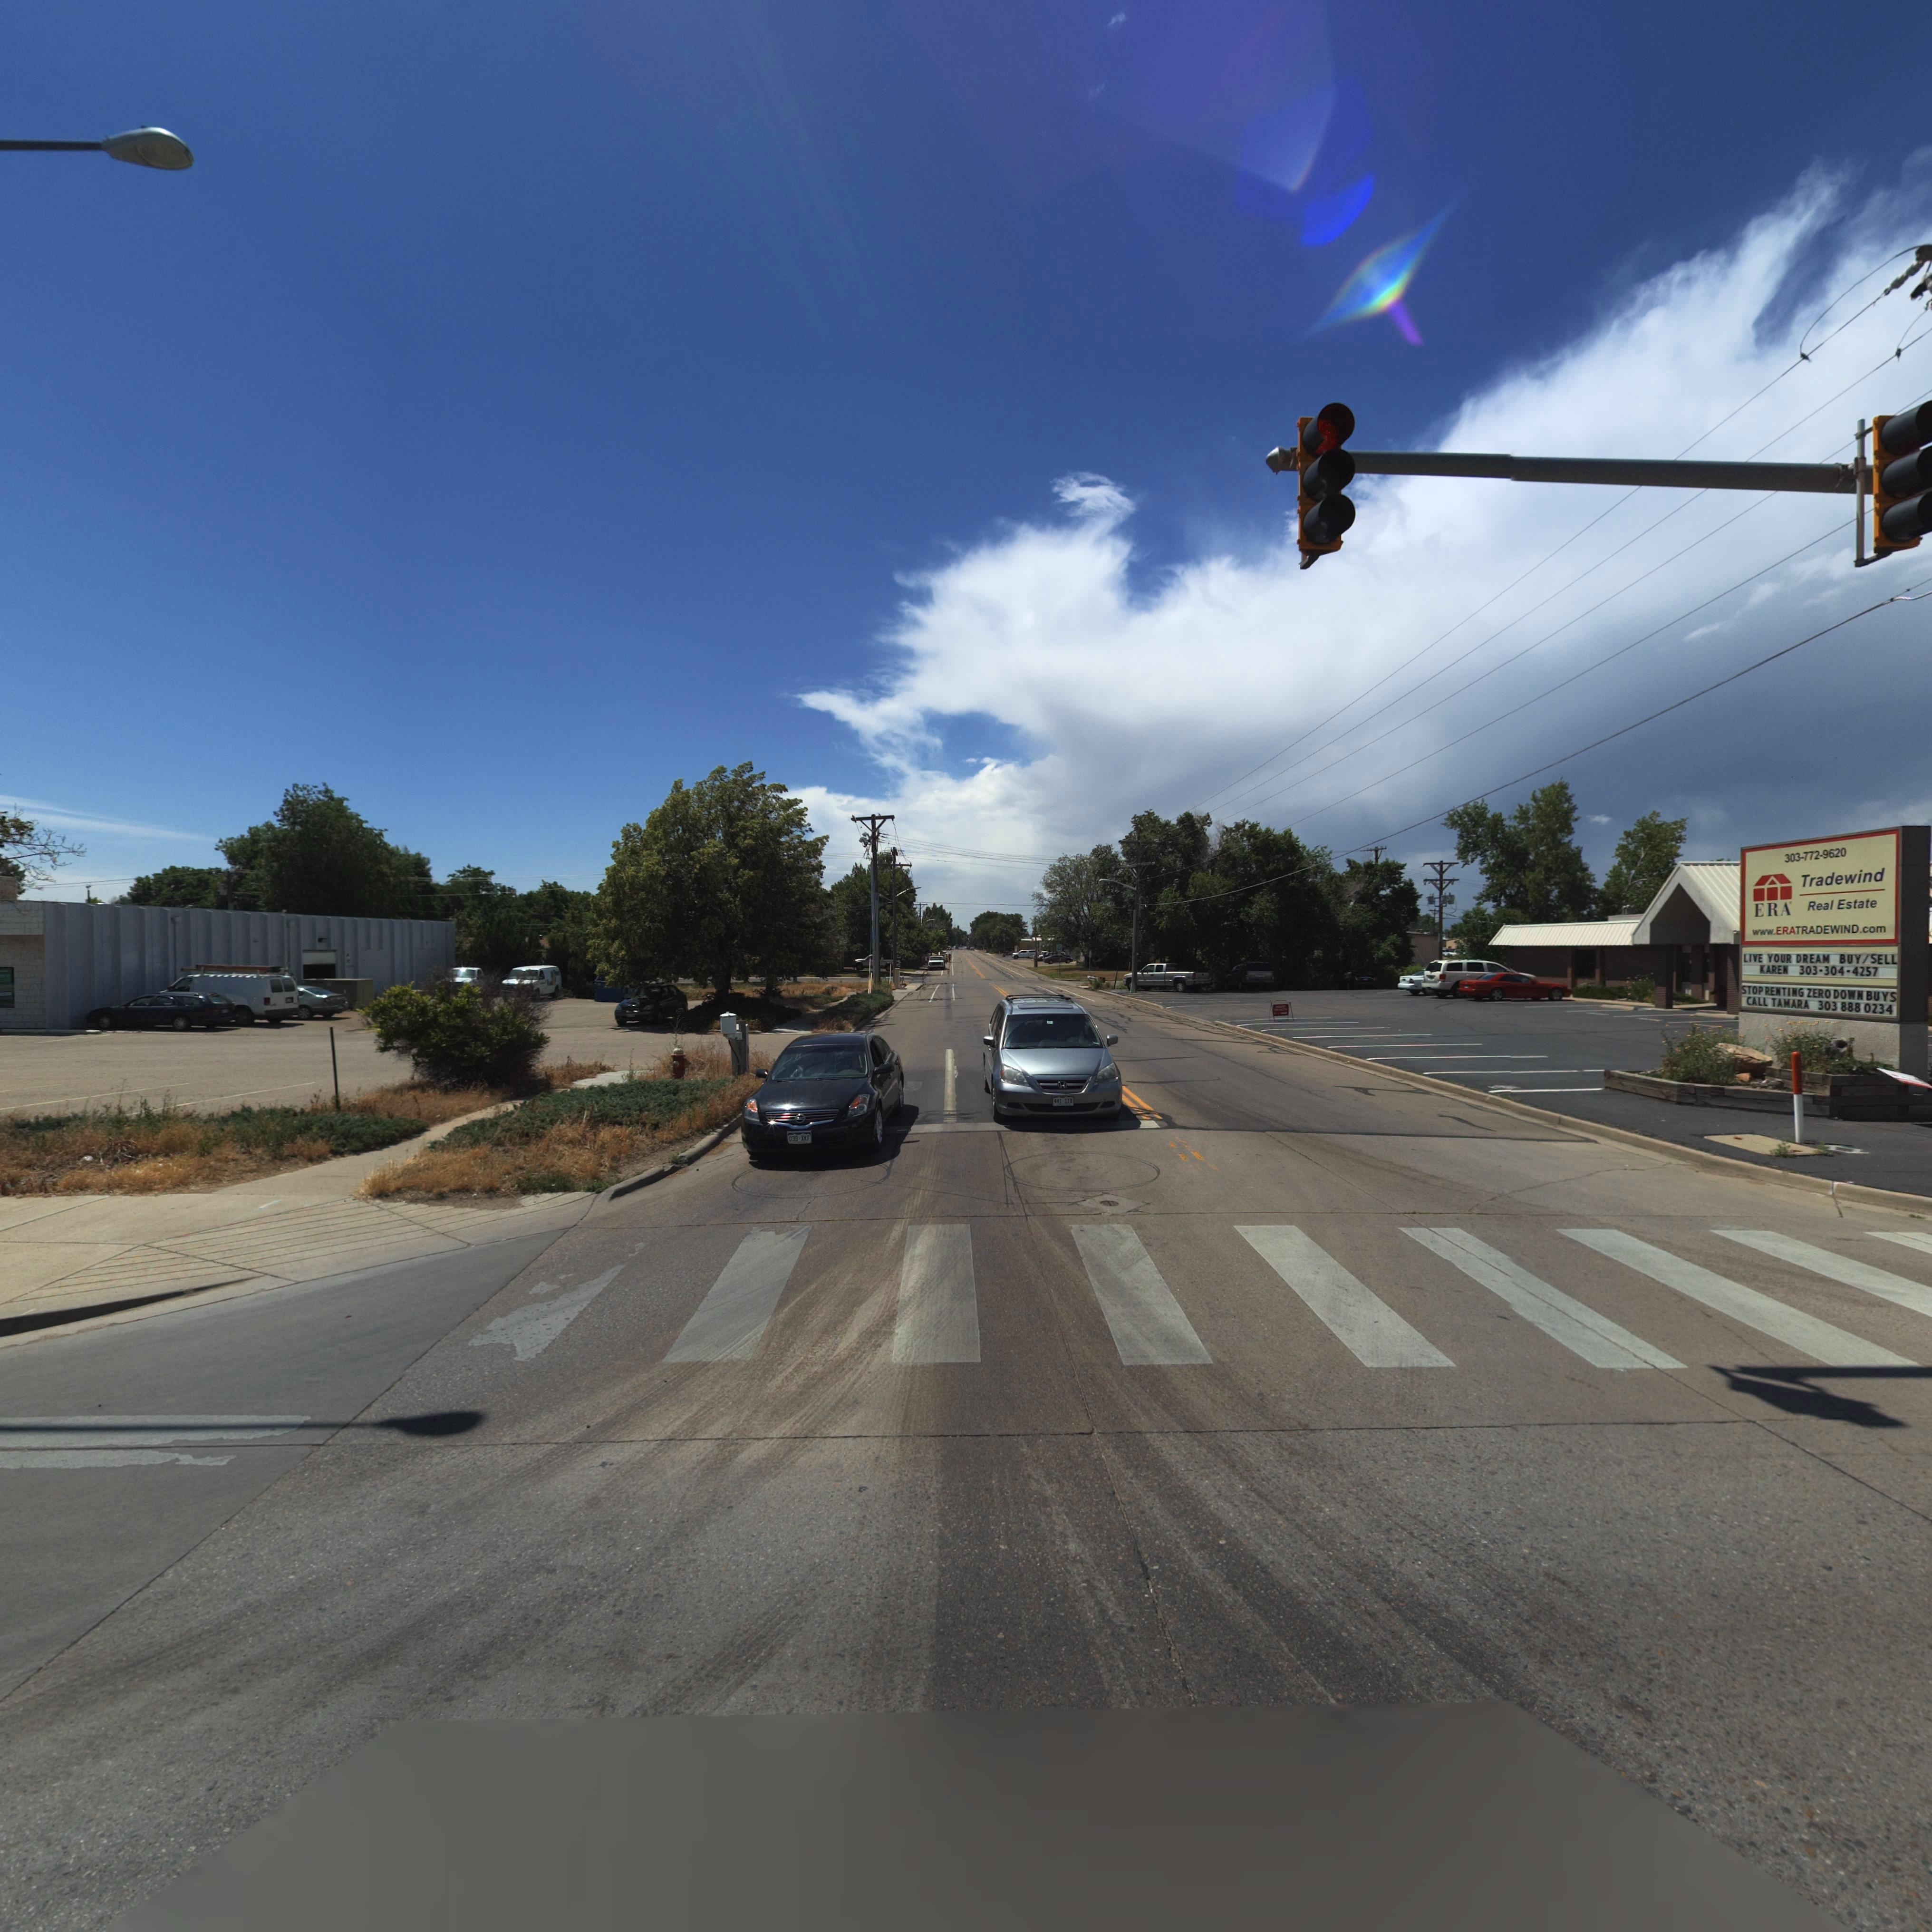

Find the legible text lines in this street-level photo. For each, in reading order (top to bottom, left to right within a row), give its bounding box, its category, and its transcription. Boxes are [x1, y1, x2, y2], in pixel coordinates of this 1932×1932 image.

[1801, 867, 1885, 888] BusinessName: Tradewind
[1754, 901, 1791, 918] BusinessName: ERA
[1807, 898, 1877, 911] BusinessName: ReaL Estate